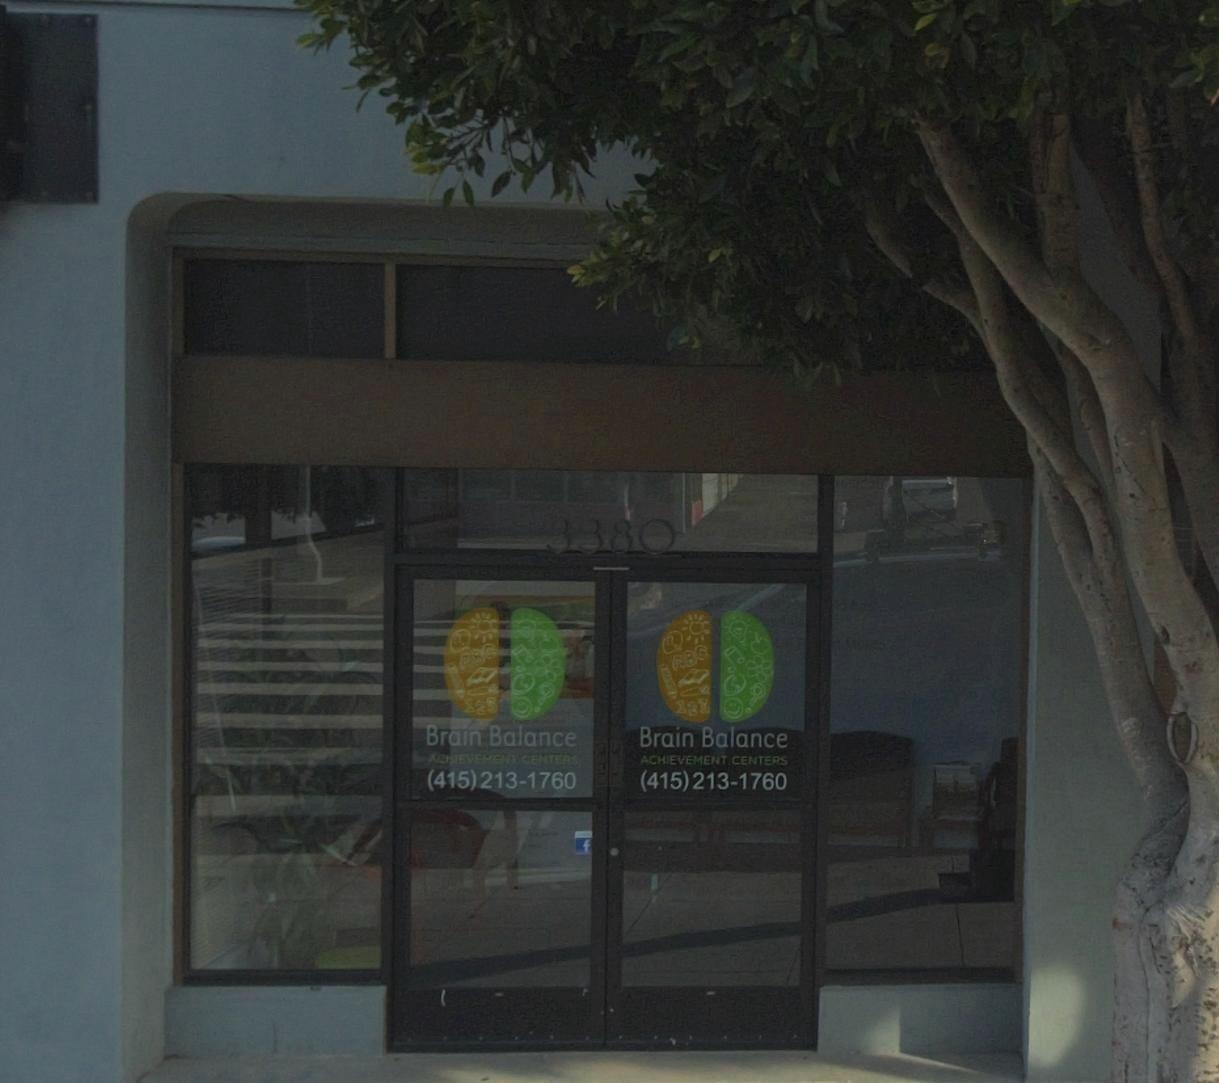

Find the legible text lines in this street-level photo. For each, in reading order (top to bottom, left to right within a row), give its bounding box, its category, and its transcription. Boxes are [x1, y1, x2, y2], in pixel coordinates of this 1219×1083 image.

[543, 514, 678, 558] StreetNumber: 3380
[424, 720, 578, 749] BusinessName: Brain Balance
[637, 724, 789, 750] BusinessName: Brain Balance
[423, 749, 579, 767] None: ACHIEVEMENT CENTERS
[637, 750, 790, 768] None: ACHIEVEMENT CENTERS
[431, 768, 578, 792] None: 415)213-1760
[644, 768, 789, 793] None: 415)213-1760